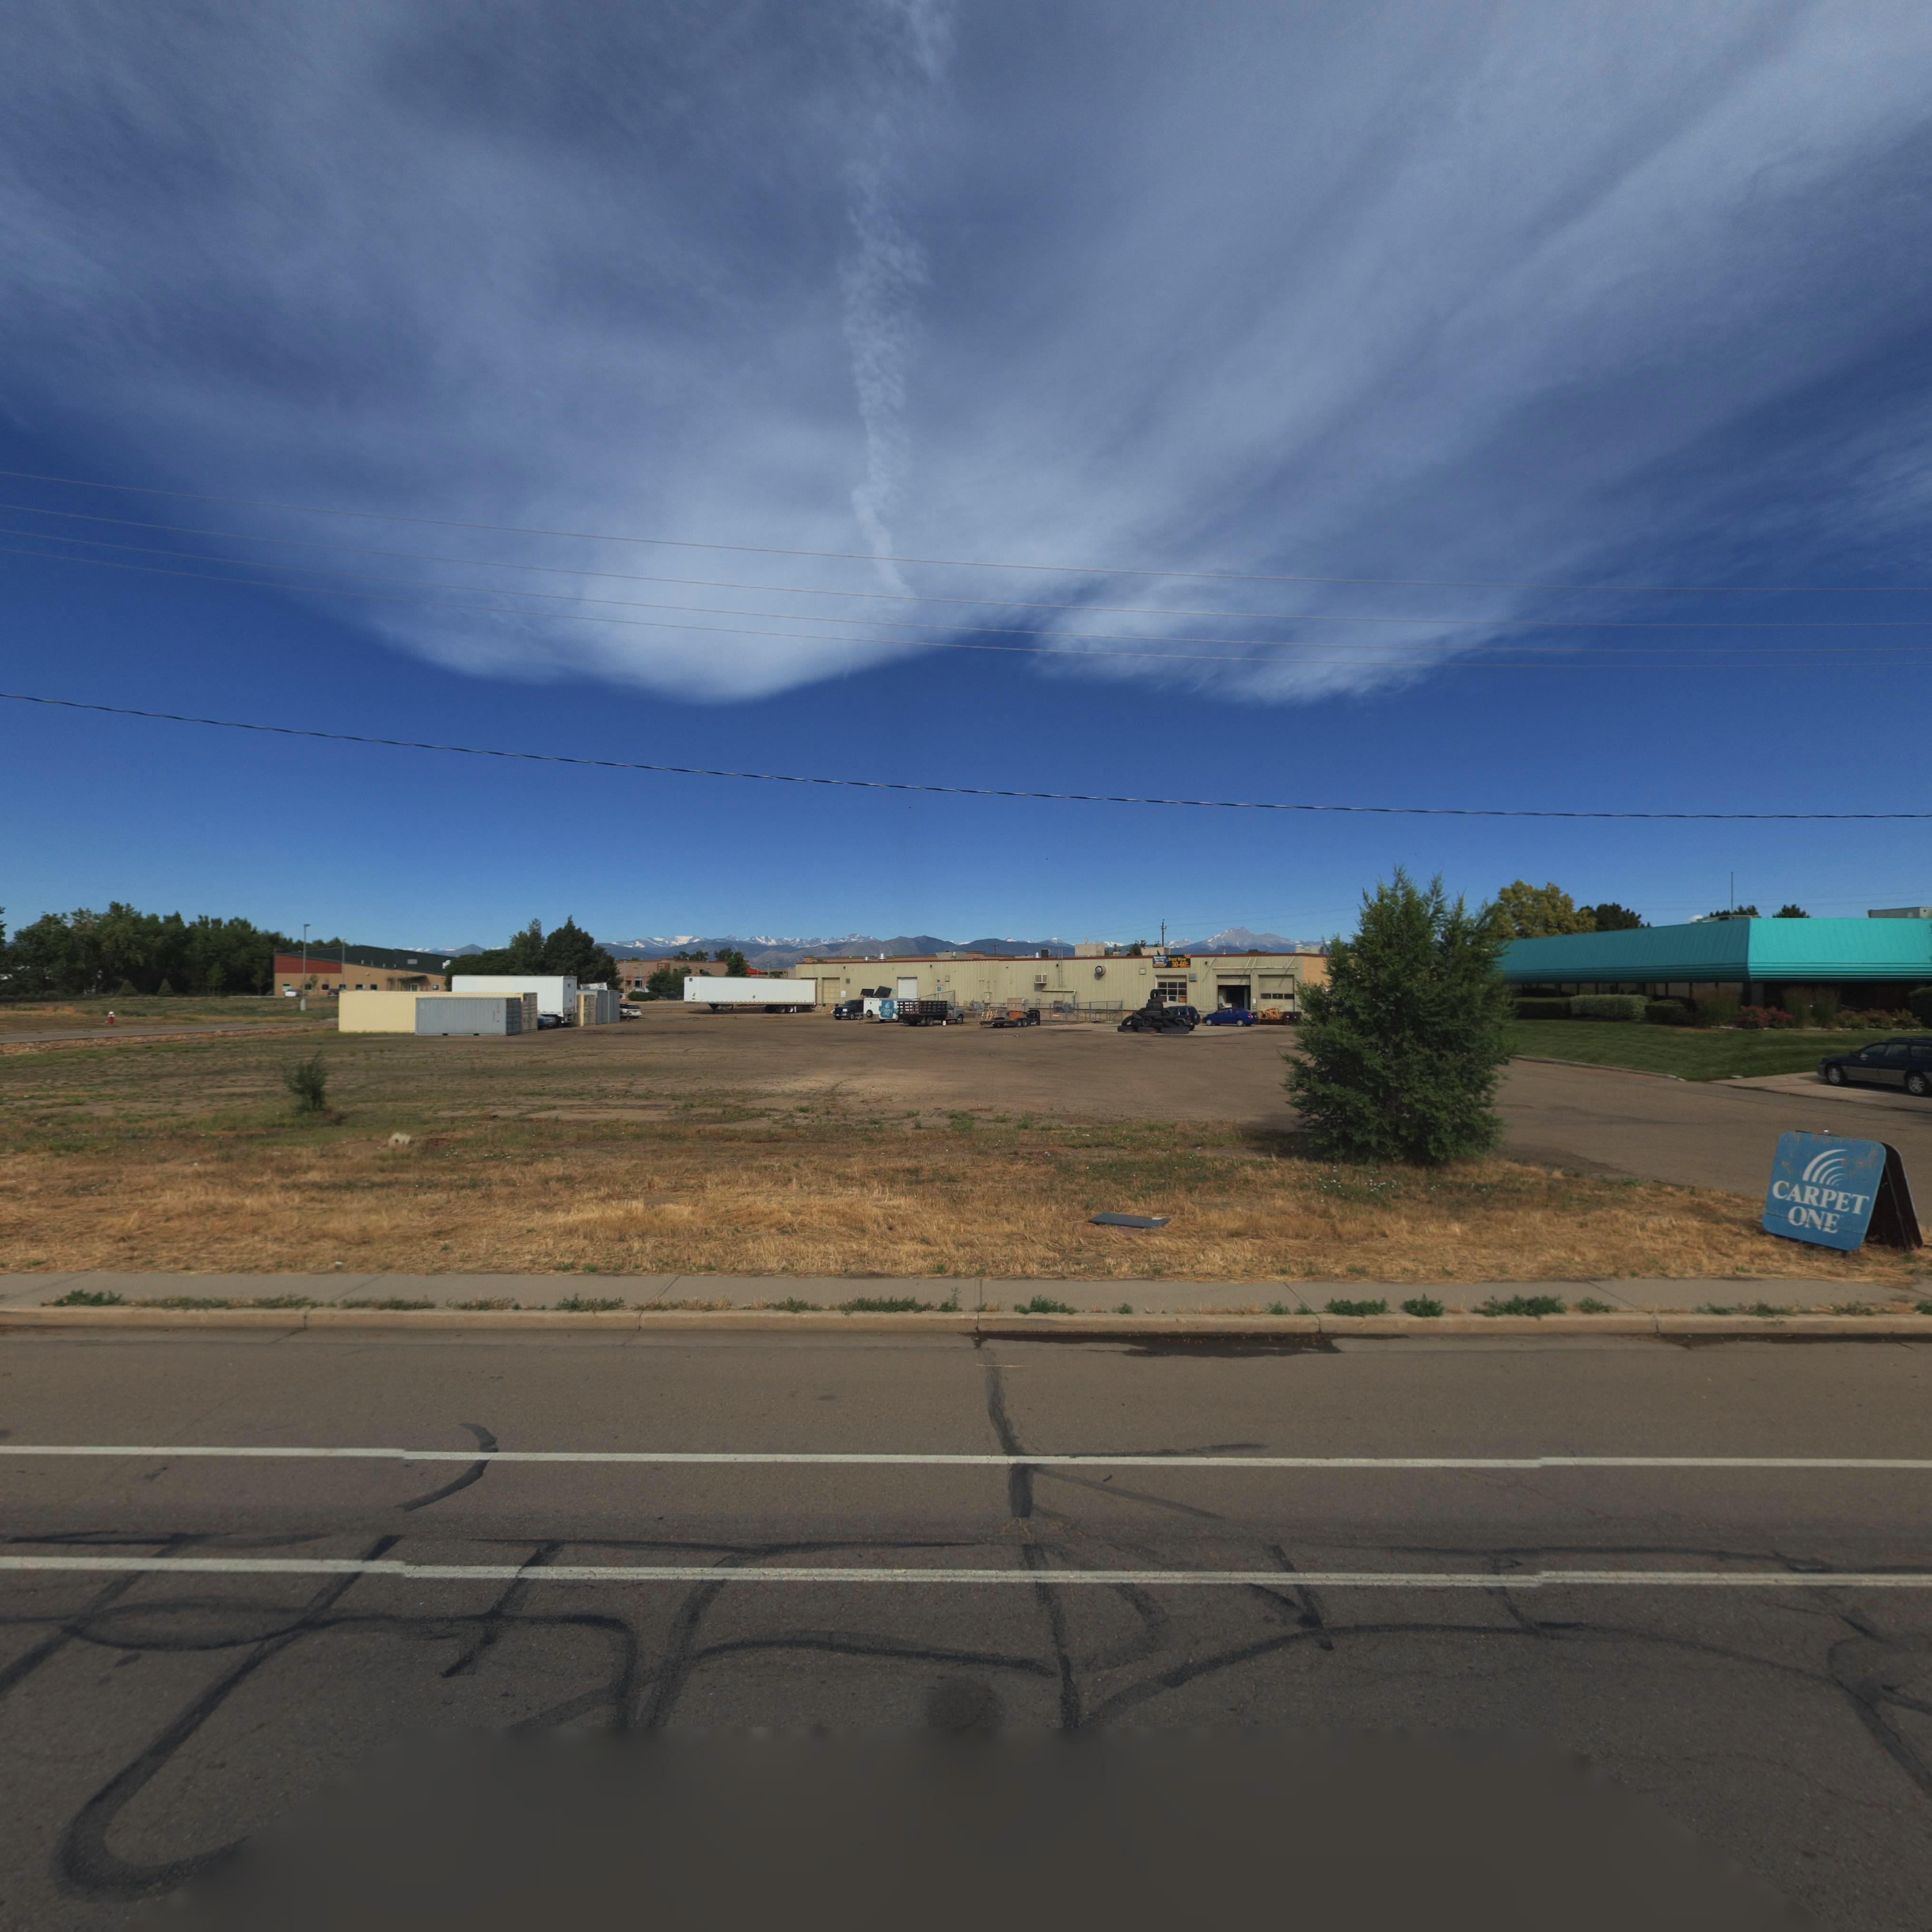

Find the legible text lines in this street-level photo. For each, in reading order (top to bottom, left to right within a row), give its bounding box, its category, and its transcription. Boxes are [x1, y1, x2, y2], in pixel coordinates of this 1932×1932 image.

[1771, 1179, 1869, 1215] BusinessName: CARPET
[1785, 1204, 1840, 1234] BusinessName: ONE